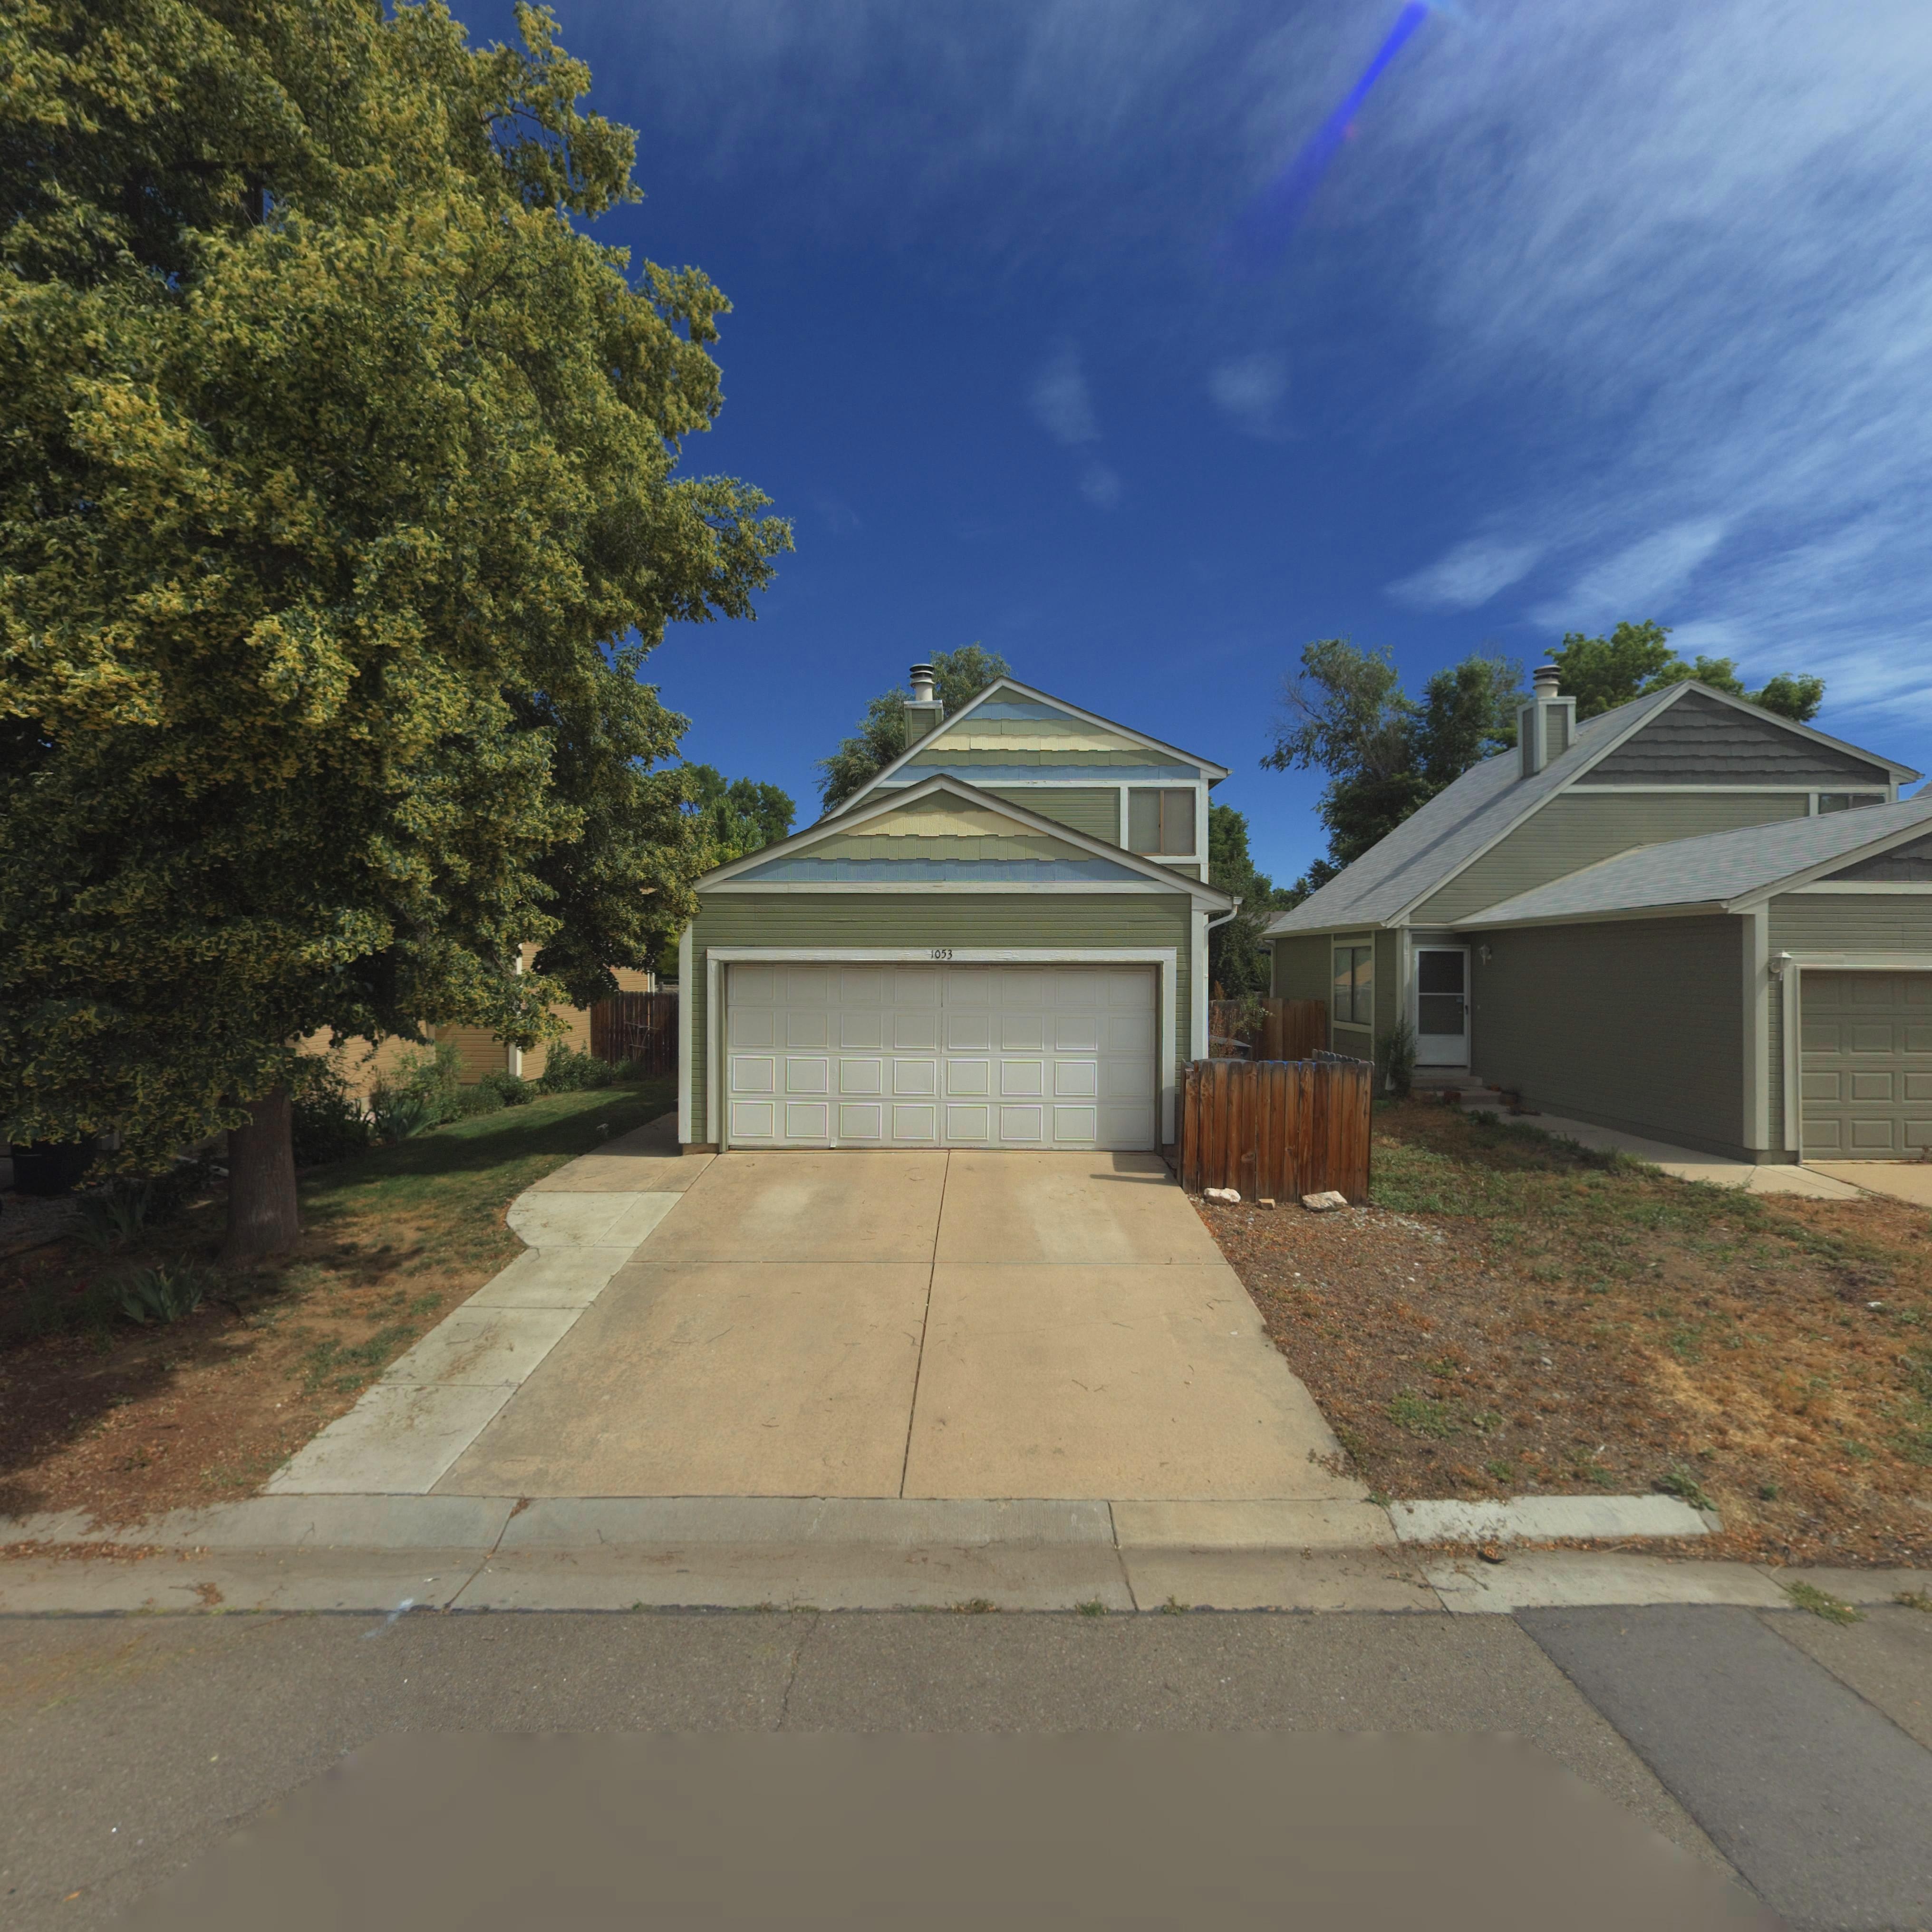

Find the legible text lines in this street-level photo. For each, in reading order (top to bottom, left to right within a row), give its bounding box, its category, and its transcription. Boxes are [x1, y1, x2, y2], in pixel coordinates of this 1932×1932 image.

[930, 948, 952, 959] StreetNumber: 1053